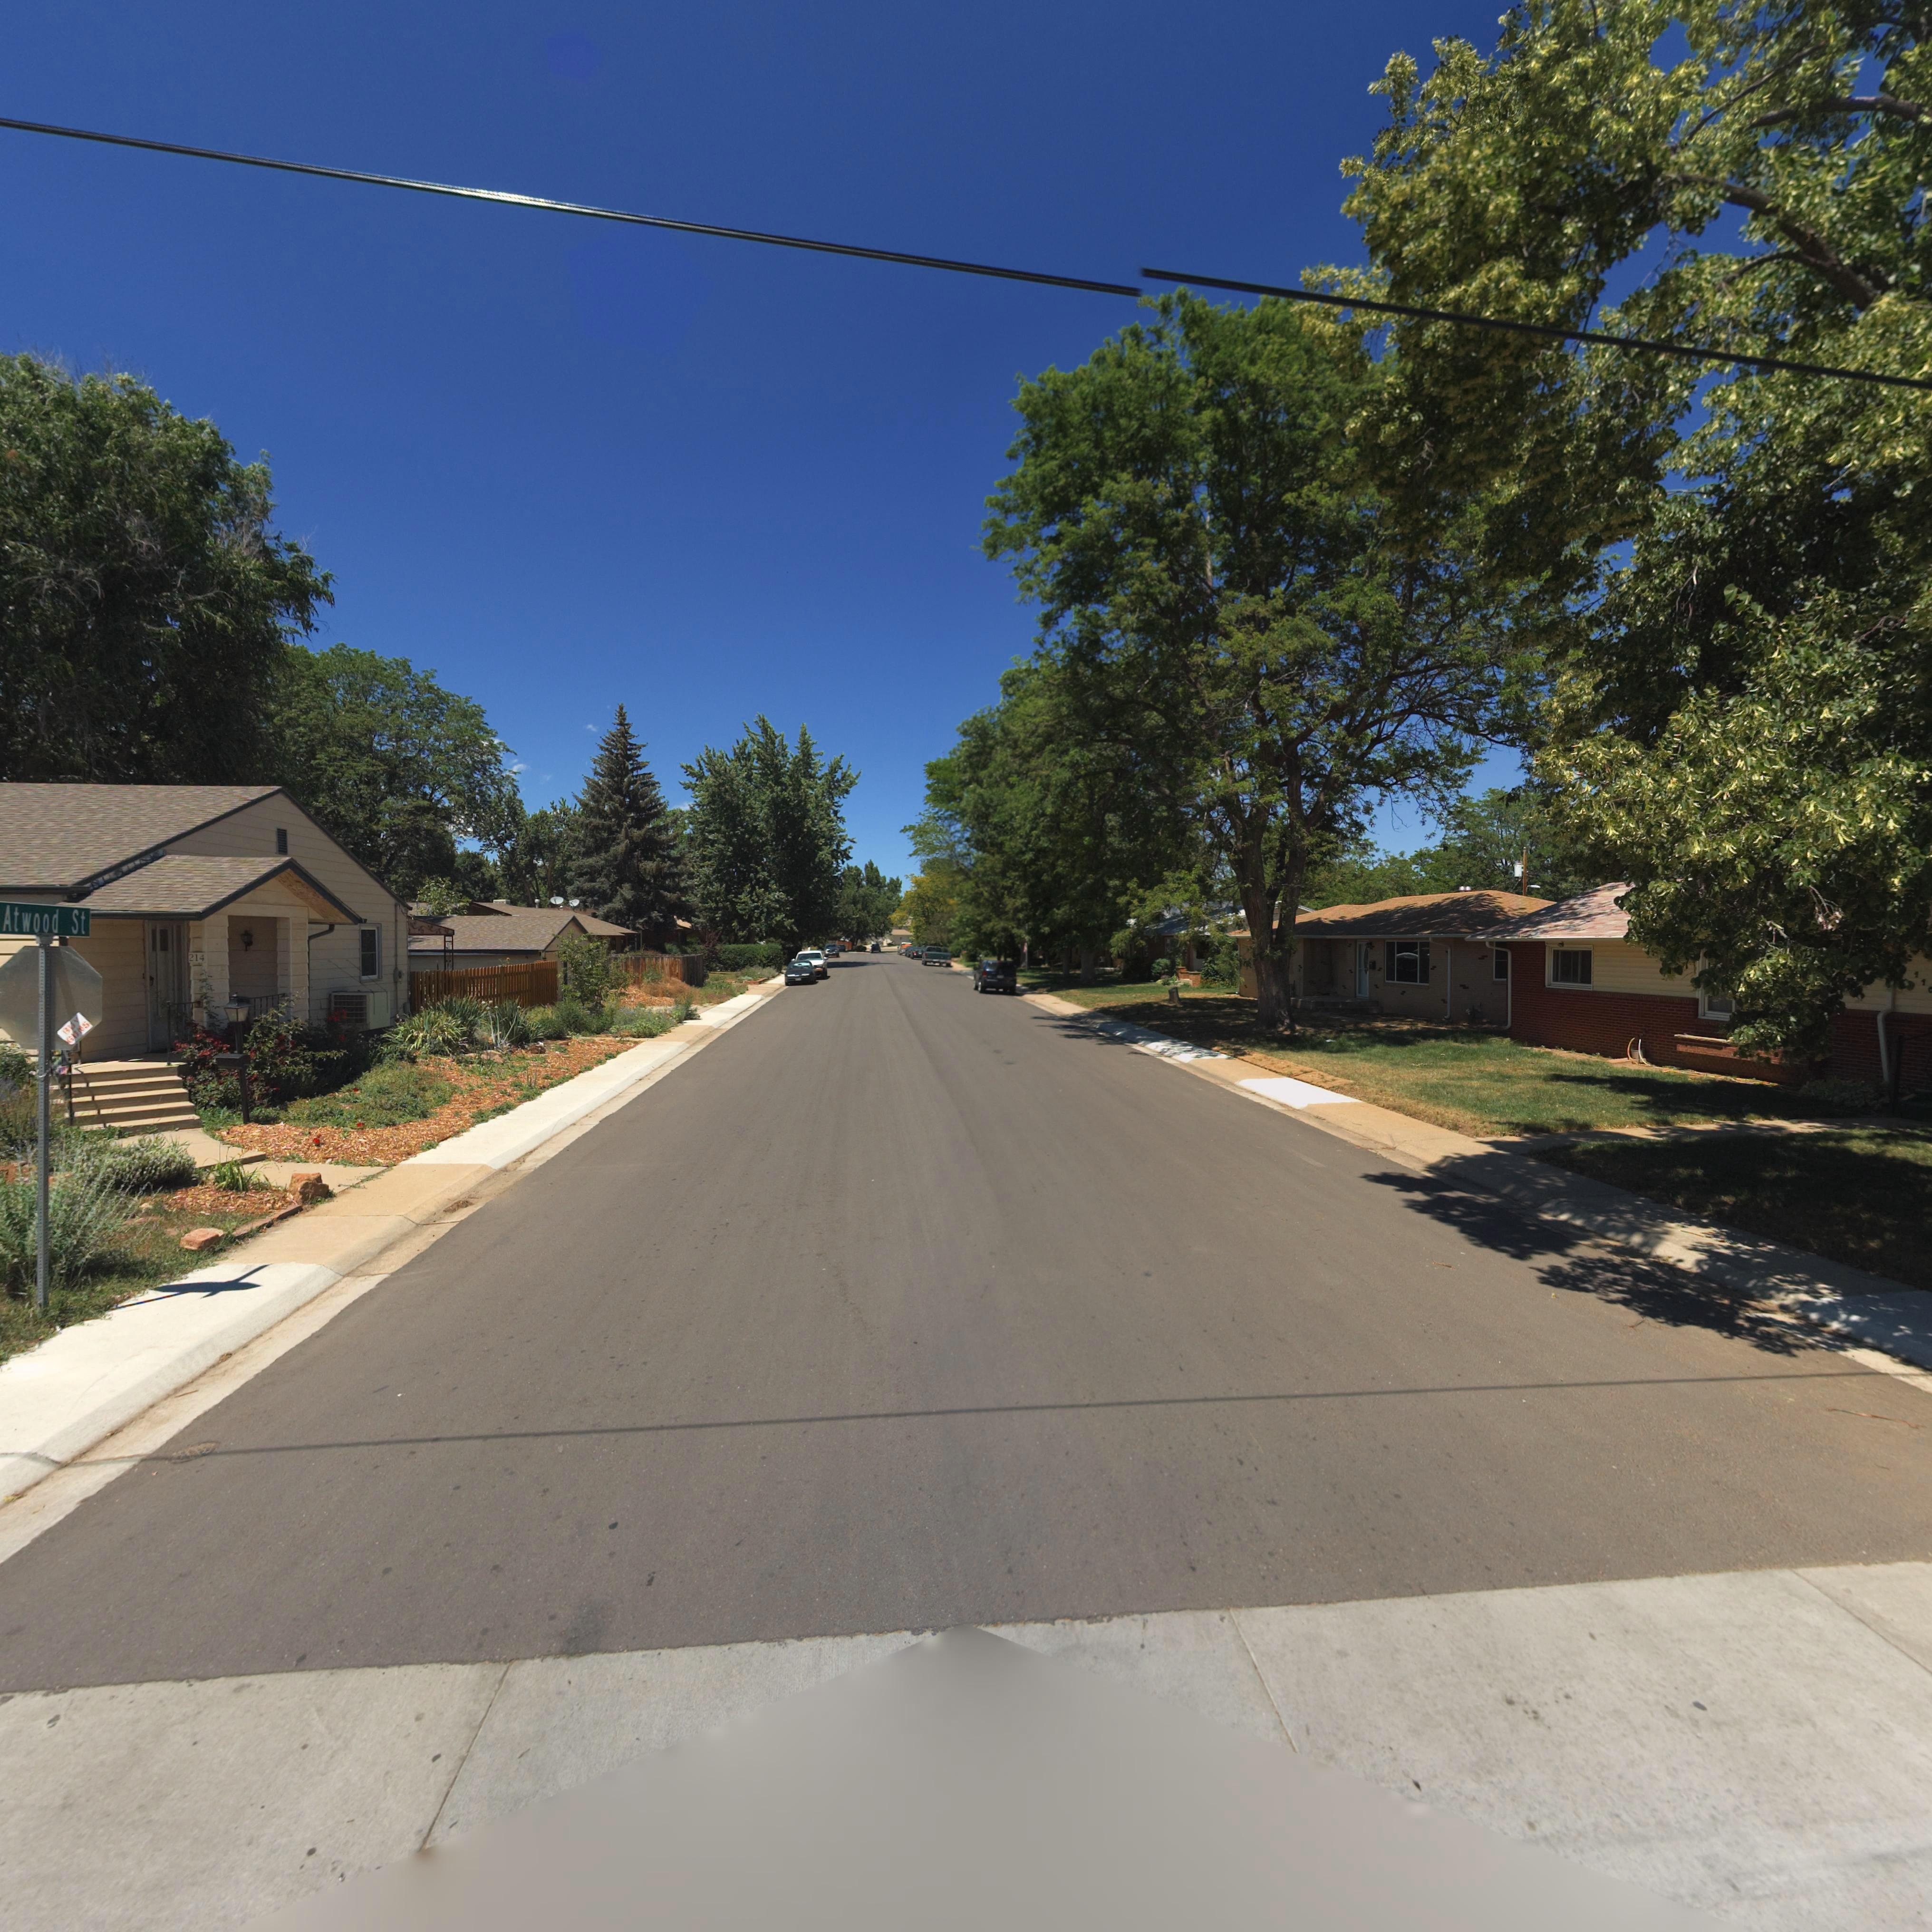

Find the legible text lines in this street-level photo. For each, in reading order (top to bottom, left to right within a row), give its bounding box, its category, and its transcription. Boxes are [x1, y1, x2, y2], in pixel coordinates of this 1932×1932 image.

[1, 903, 86, 935] StreetName: Atwood St
[188, 953, 204, 962] StreetNumber: 214
[1913, 971, 1926, 986] StreetNumber: 21